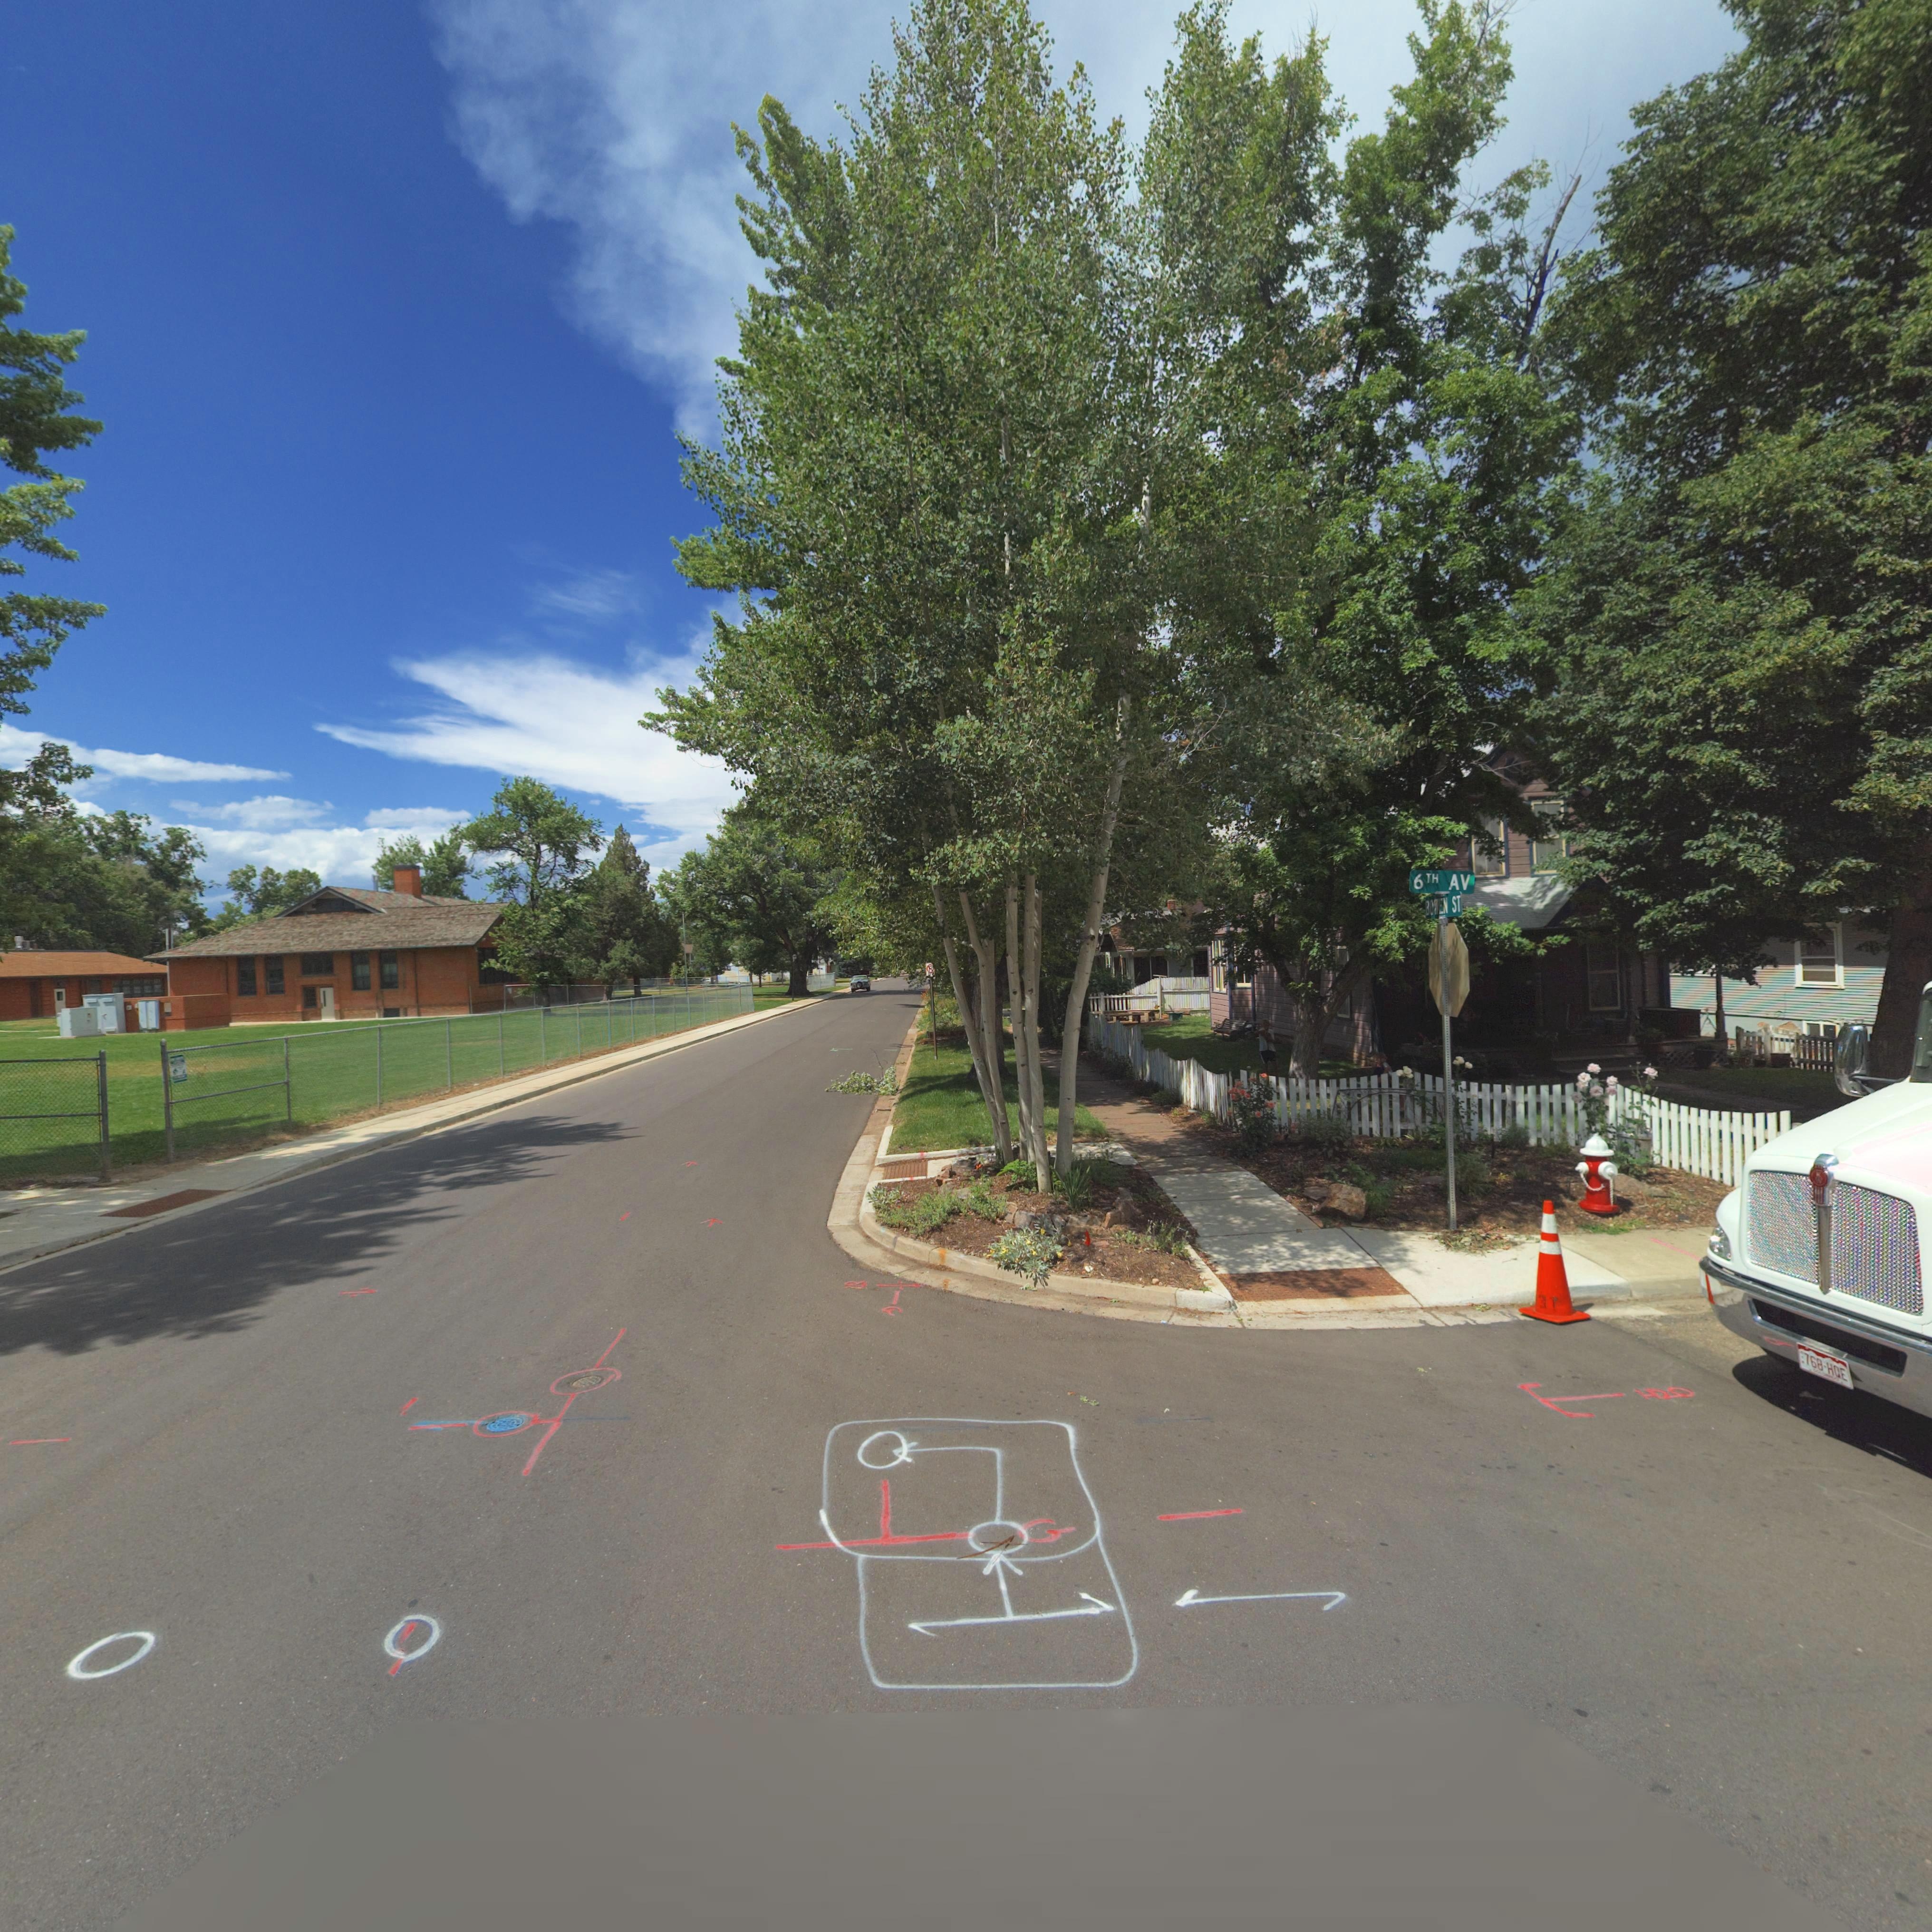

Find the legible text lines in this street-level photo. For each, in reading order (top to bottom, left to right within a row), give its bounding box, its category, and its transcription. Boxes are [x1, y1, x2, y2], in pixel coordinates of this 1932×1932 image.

[1411, 871, 1471, 891] StreetName: 6TH AV
[1424, 895, 1461, 917] StreetName: BOWEN ST